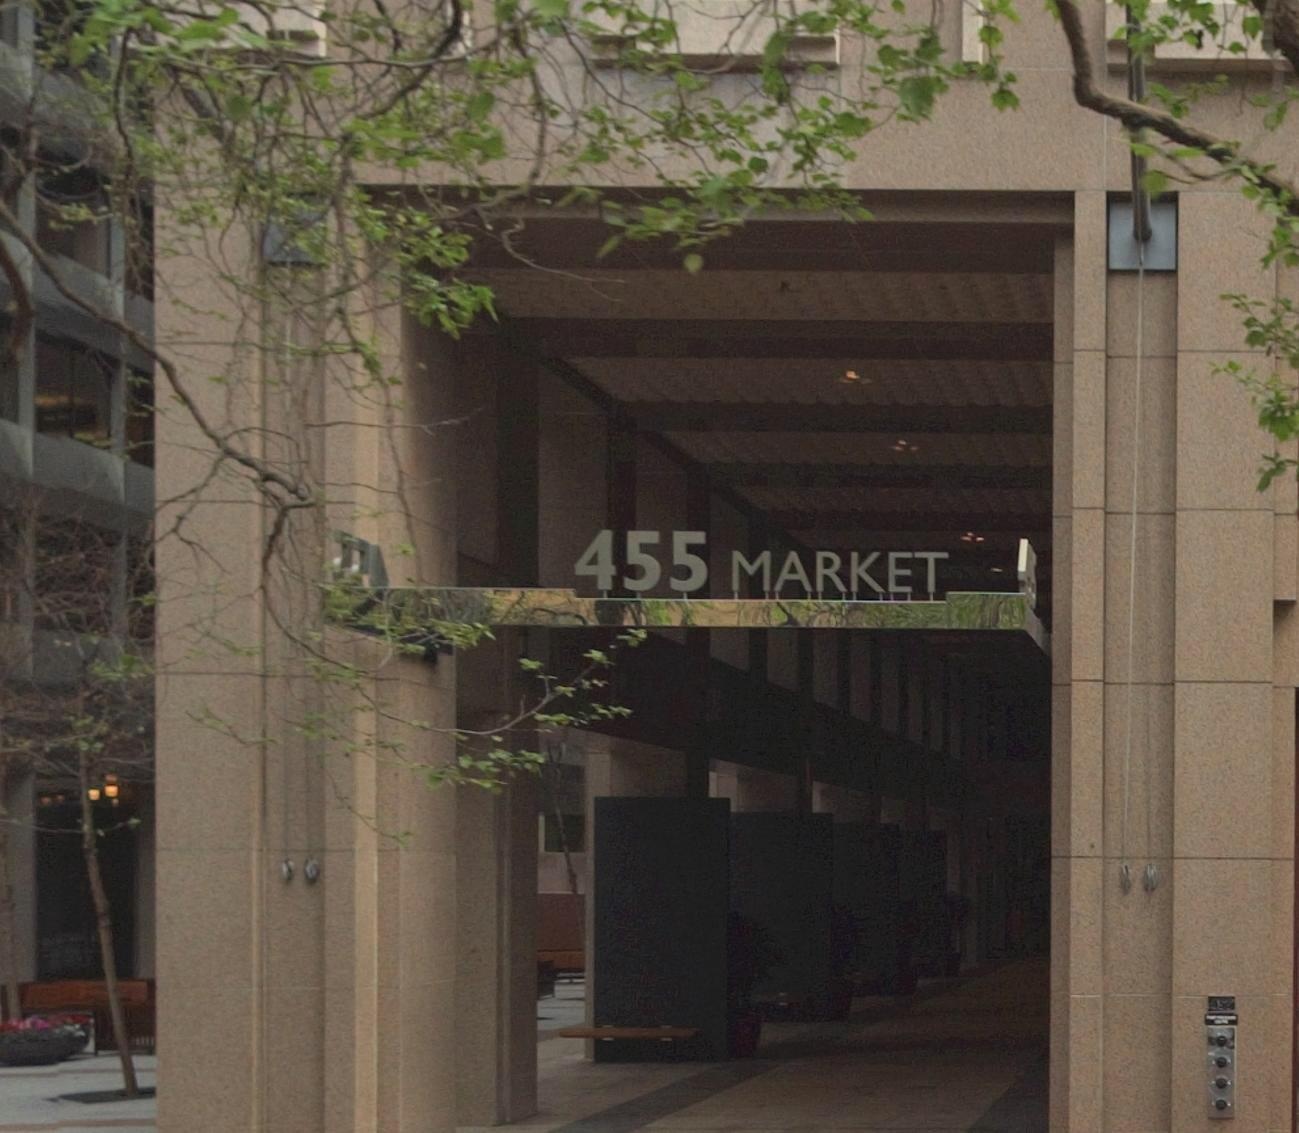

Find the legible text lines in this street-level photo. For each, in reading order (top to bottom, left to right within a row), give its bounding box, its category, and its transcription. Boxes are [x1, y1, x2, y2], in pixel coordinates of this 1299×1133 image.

[573, 529, 710, 593] StreetNumber: 455
[730, 547, 949, 592] StreetName: MARKET